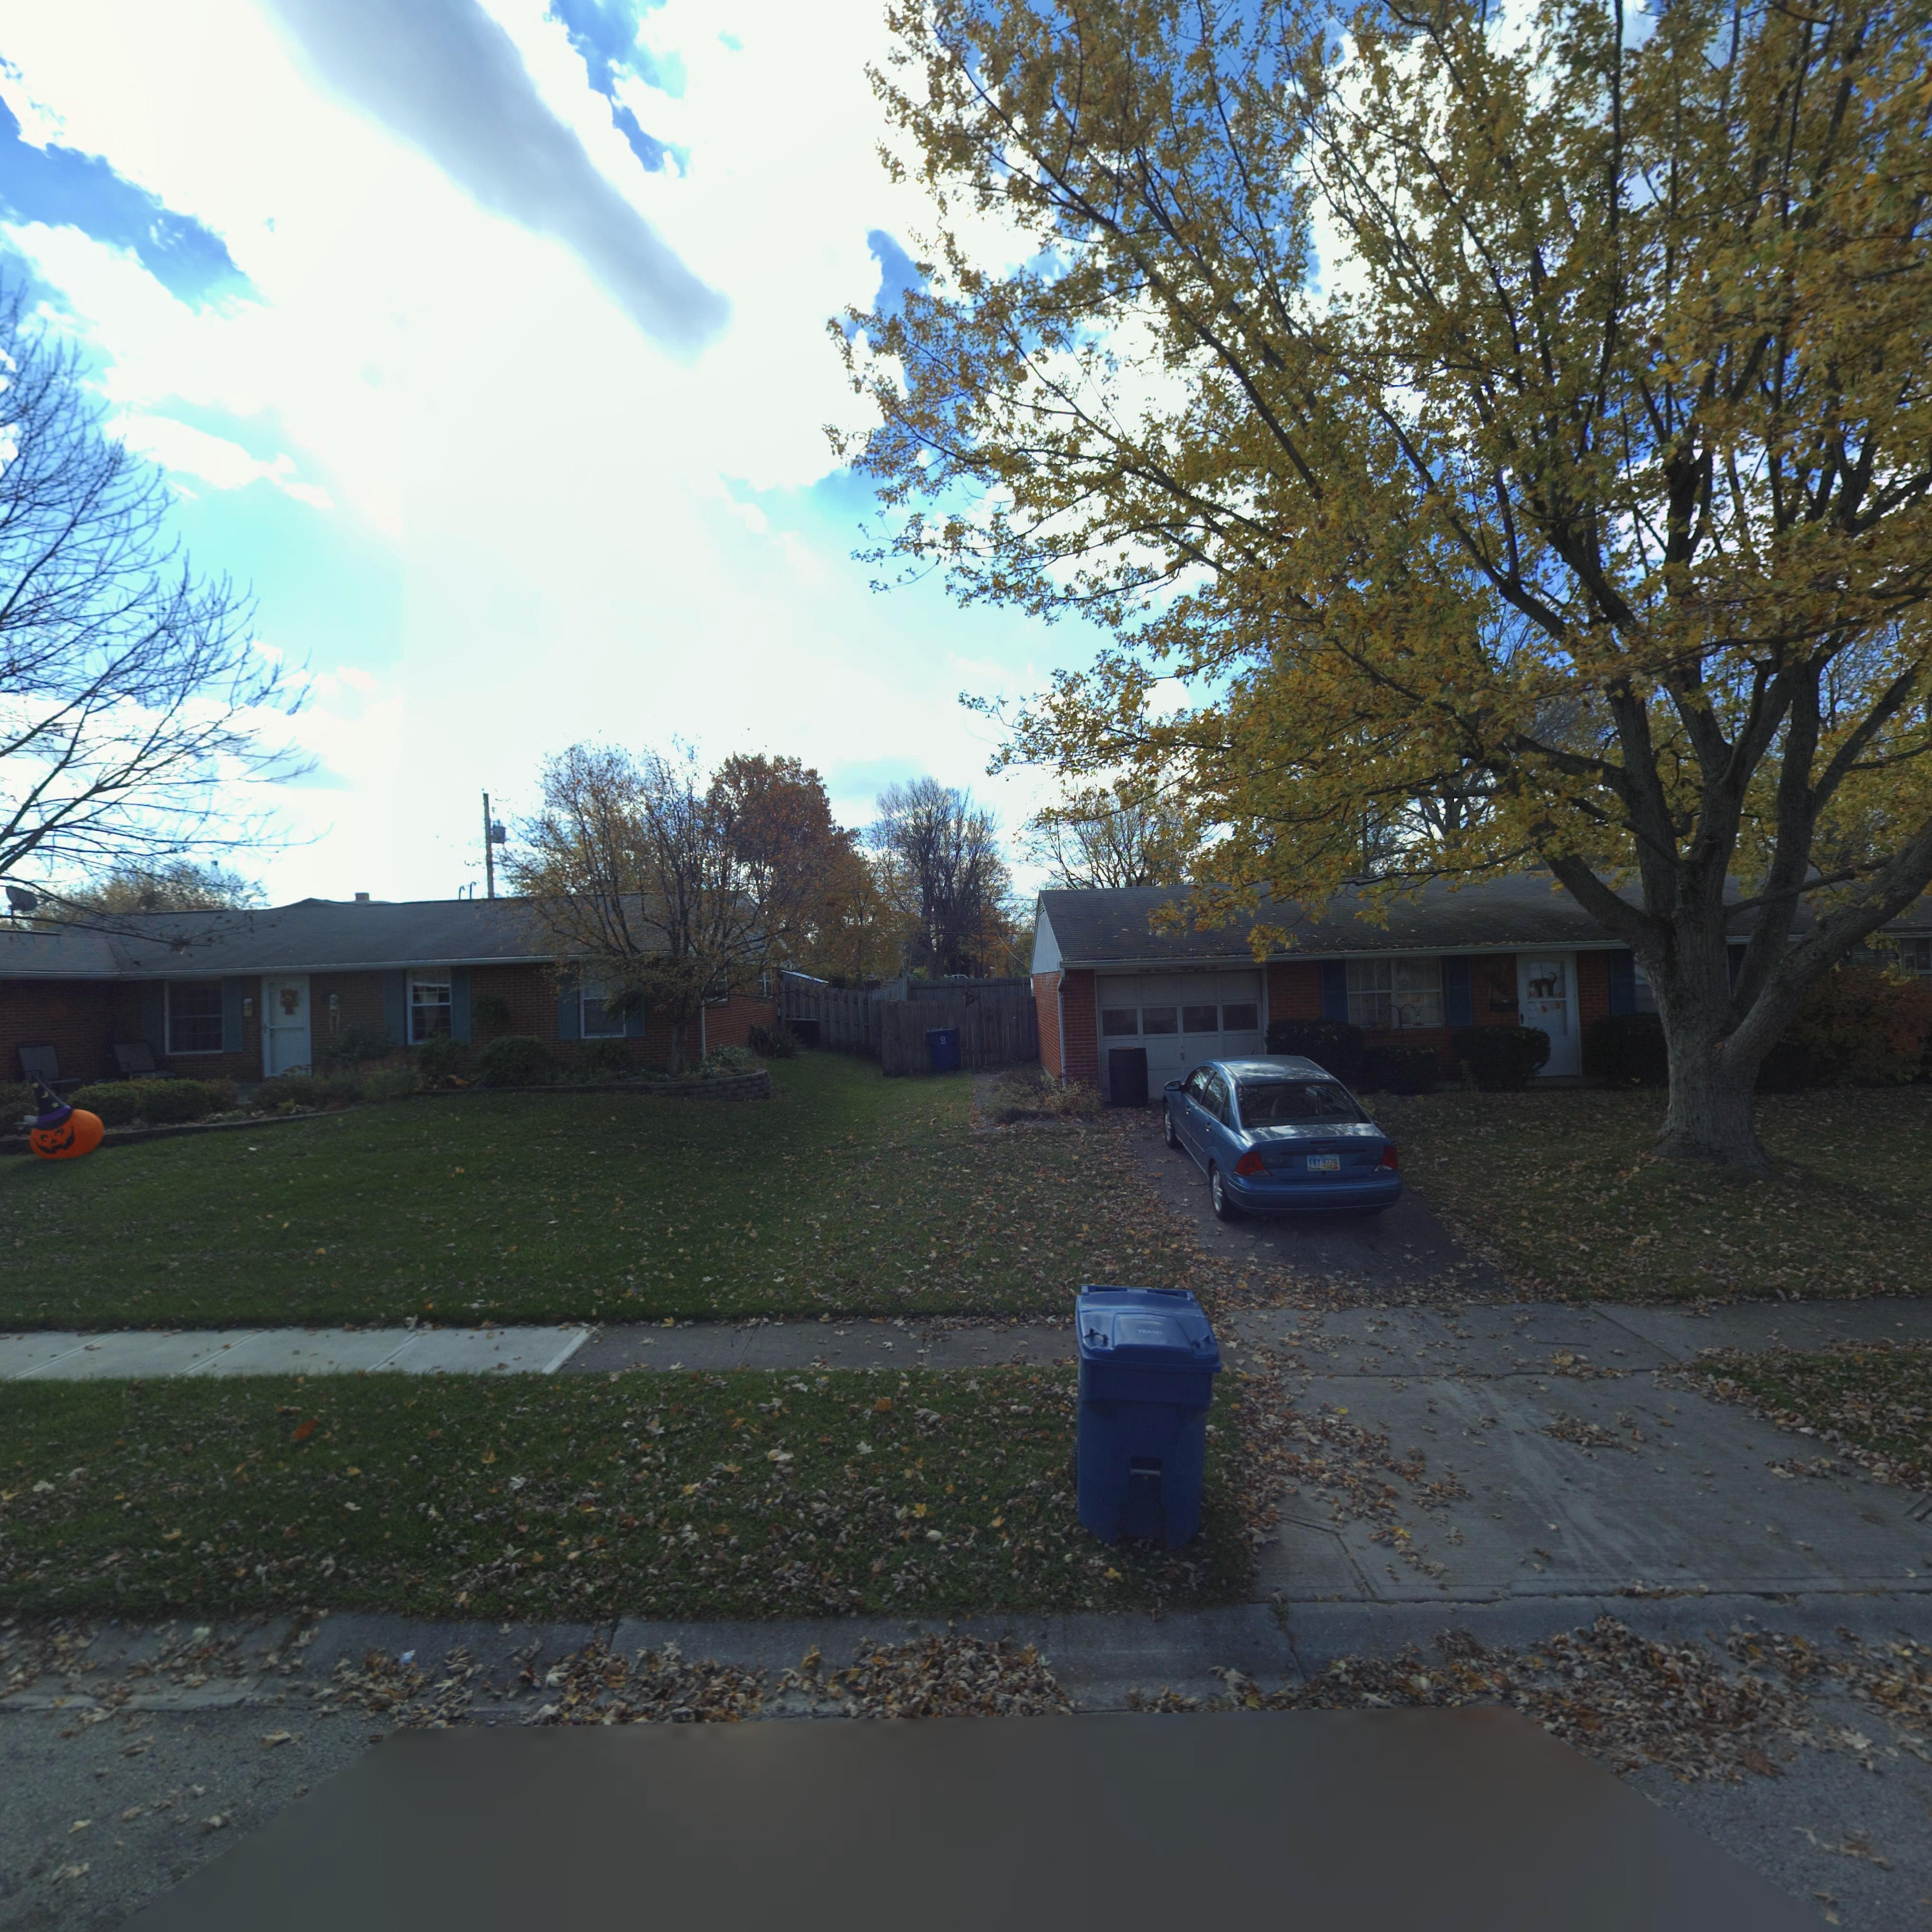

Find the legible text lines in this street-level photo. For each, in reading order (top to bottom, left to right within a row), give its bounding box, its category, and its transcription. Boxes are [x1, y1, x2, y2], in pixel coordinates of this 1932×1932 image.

[1137, 964, 1219, 974] StreetNumber: Sixty Seven * Eighty Two